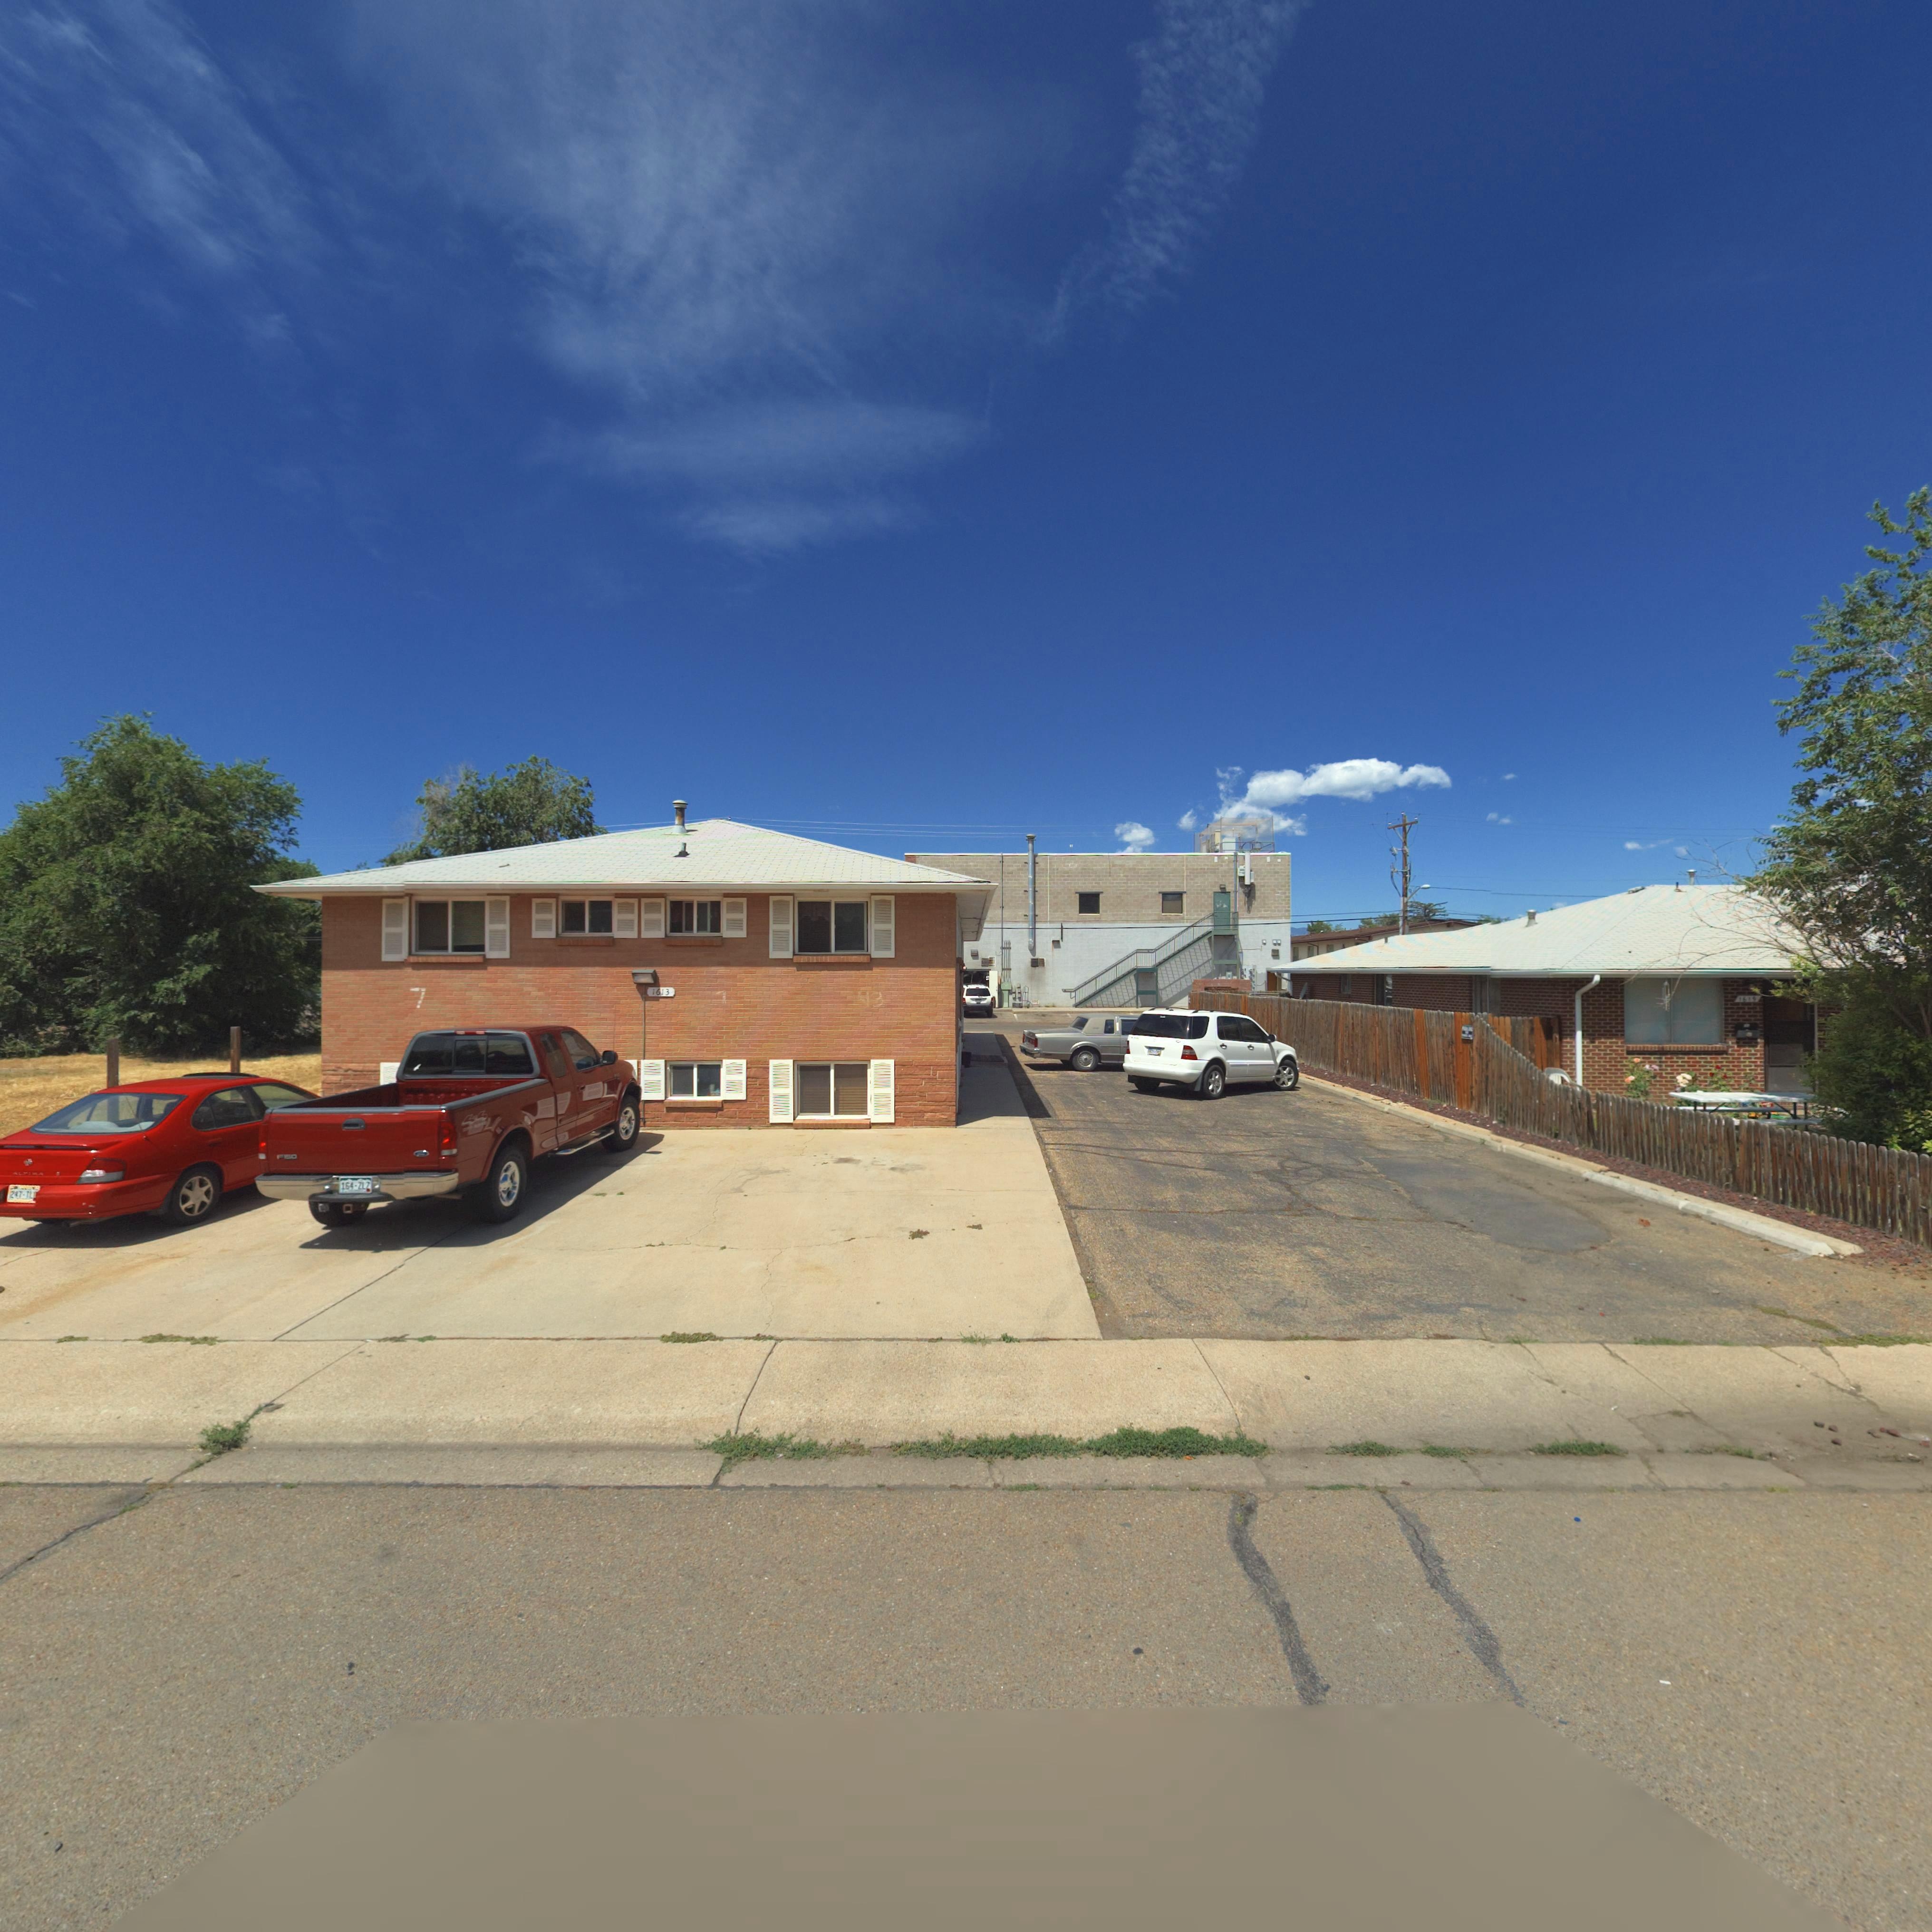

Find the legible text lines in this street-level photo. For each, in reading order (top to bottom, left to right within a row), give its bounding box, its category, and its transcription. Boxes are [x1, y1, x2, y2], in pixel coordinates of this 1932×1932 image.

[1738, 995, 1756, 1002] StreetNumber: 1619